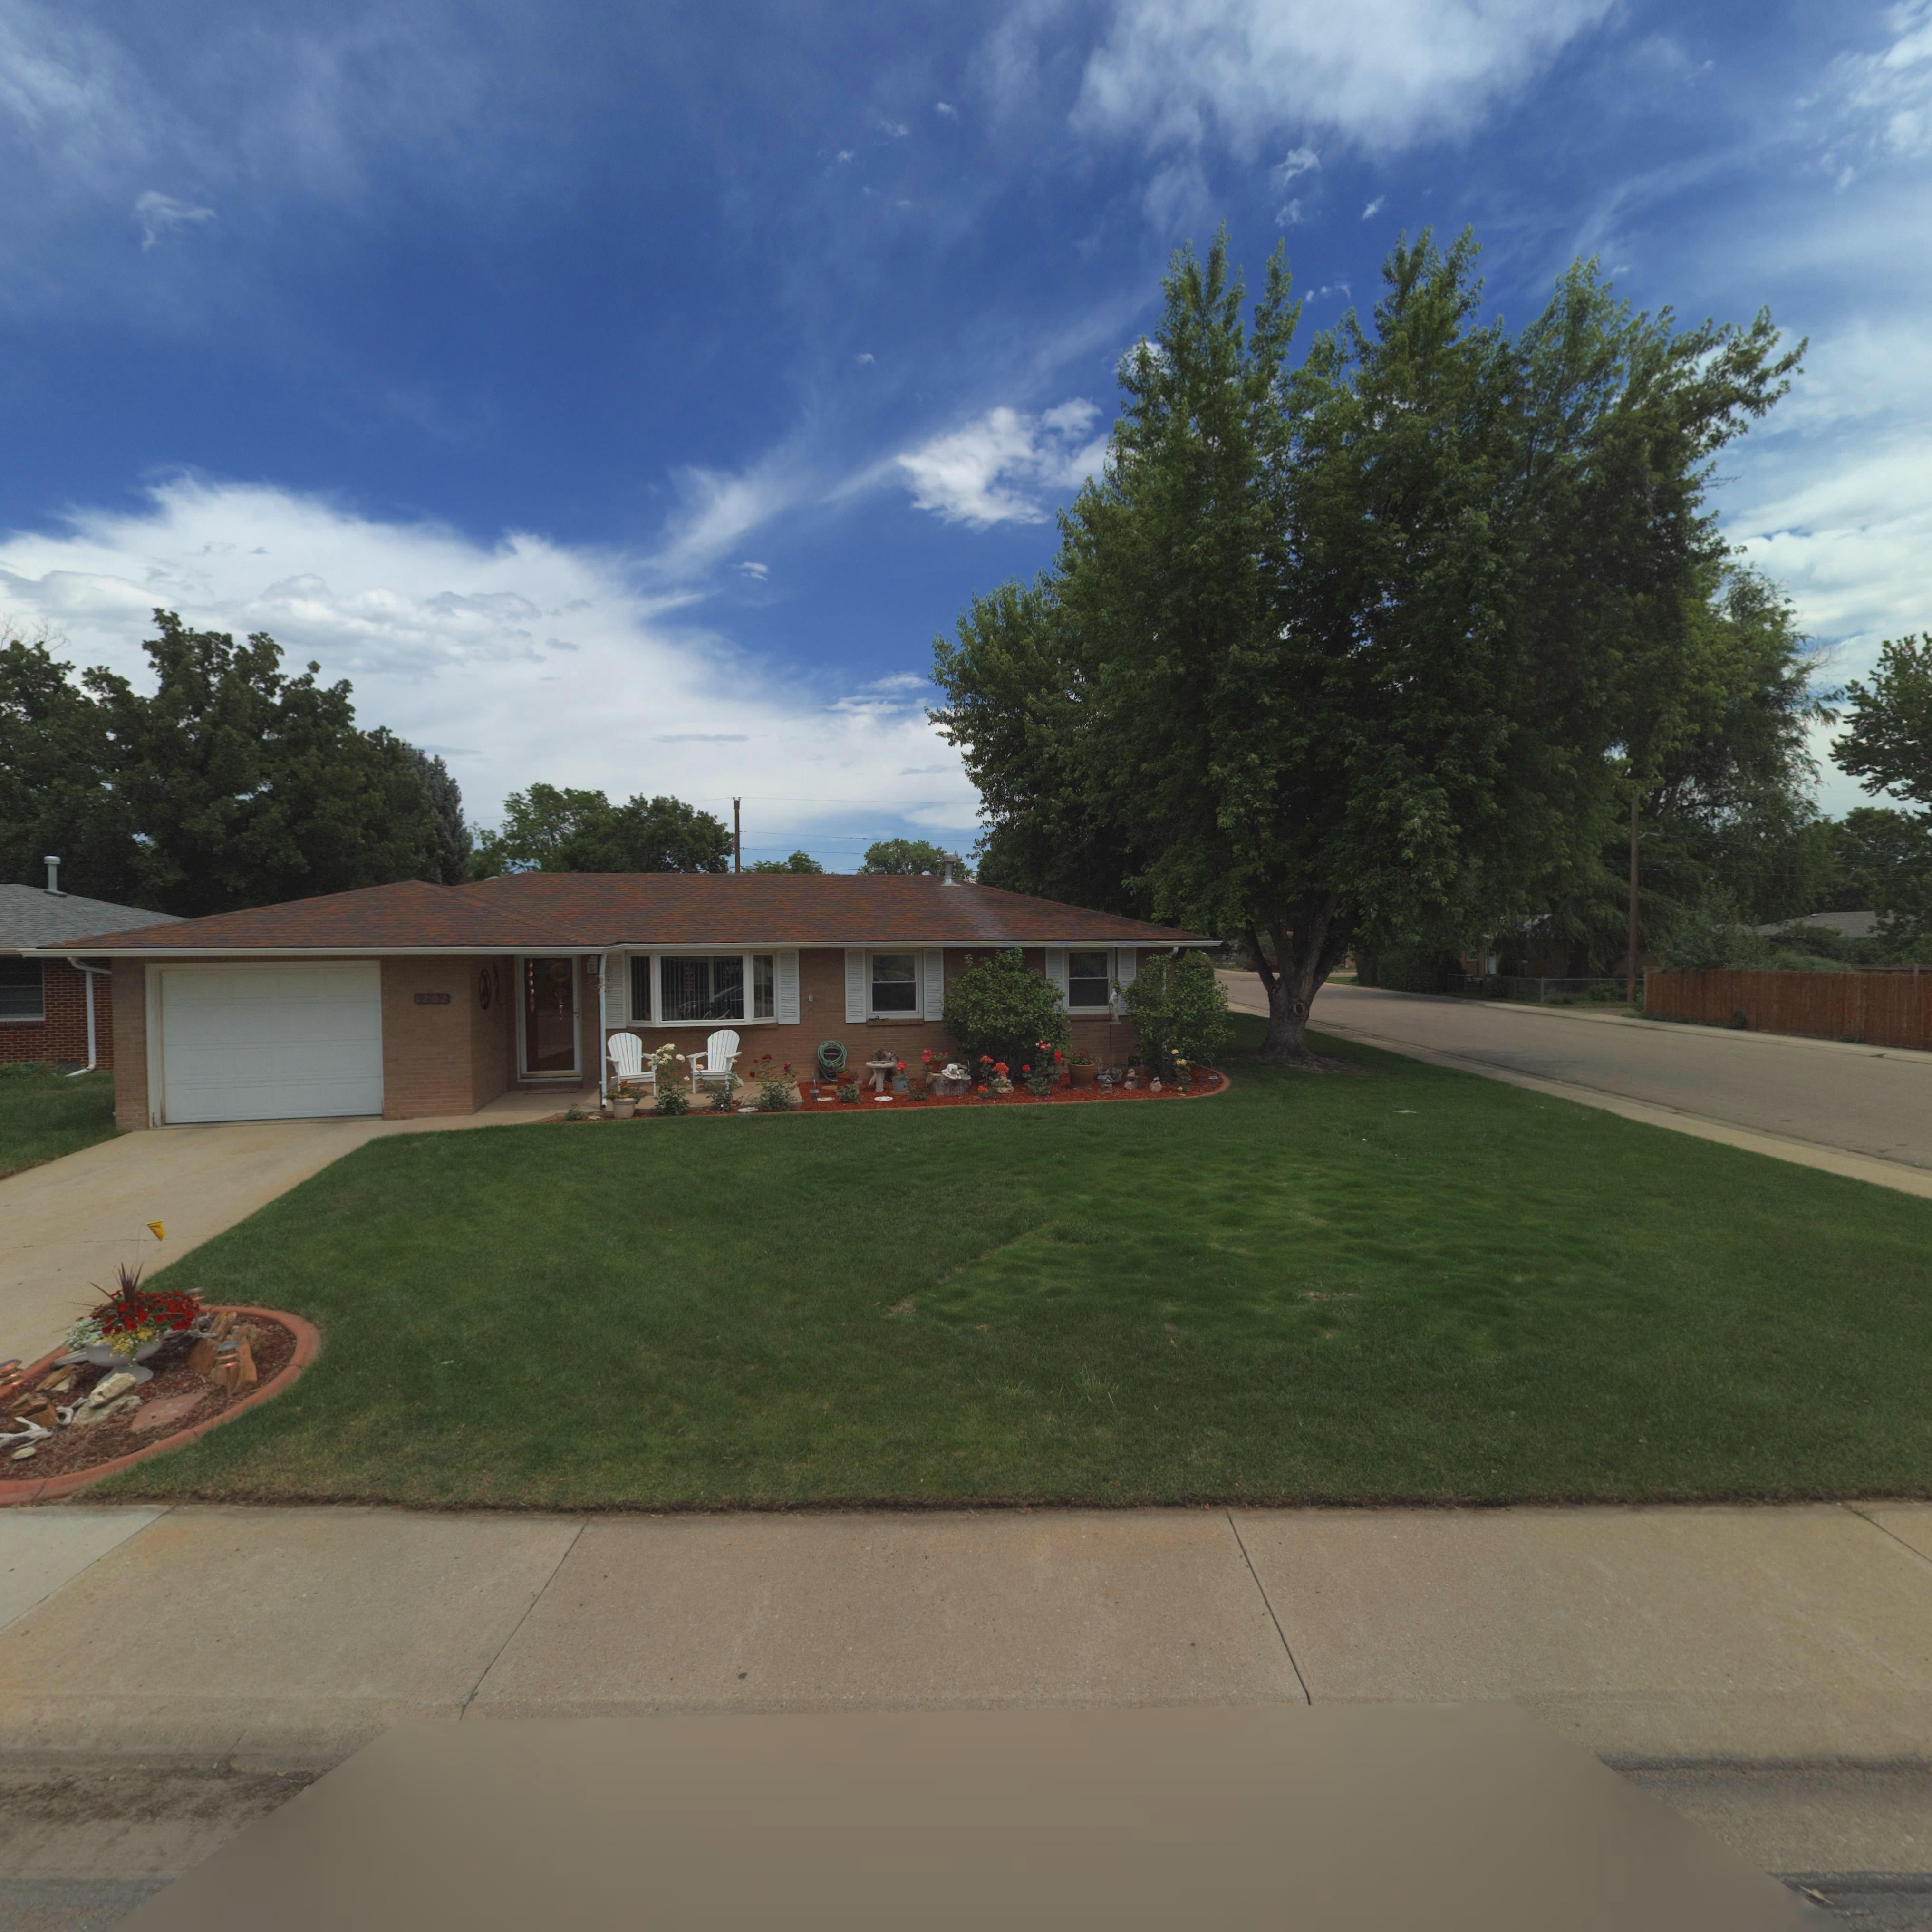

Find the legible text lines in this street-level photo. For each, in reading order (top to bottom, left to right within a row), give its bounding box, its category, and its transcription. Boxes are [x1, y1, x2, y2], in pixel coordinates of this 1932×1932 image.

[415, 994, 447, 1003] StreetNumber: 1202